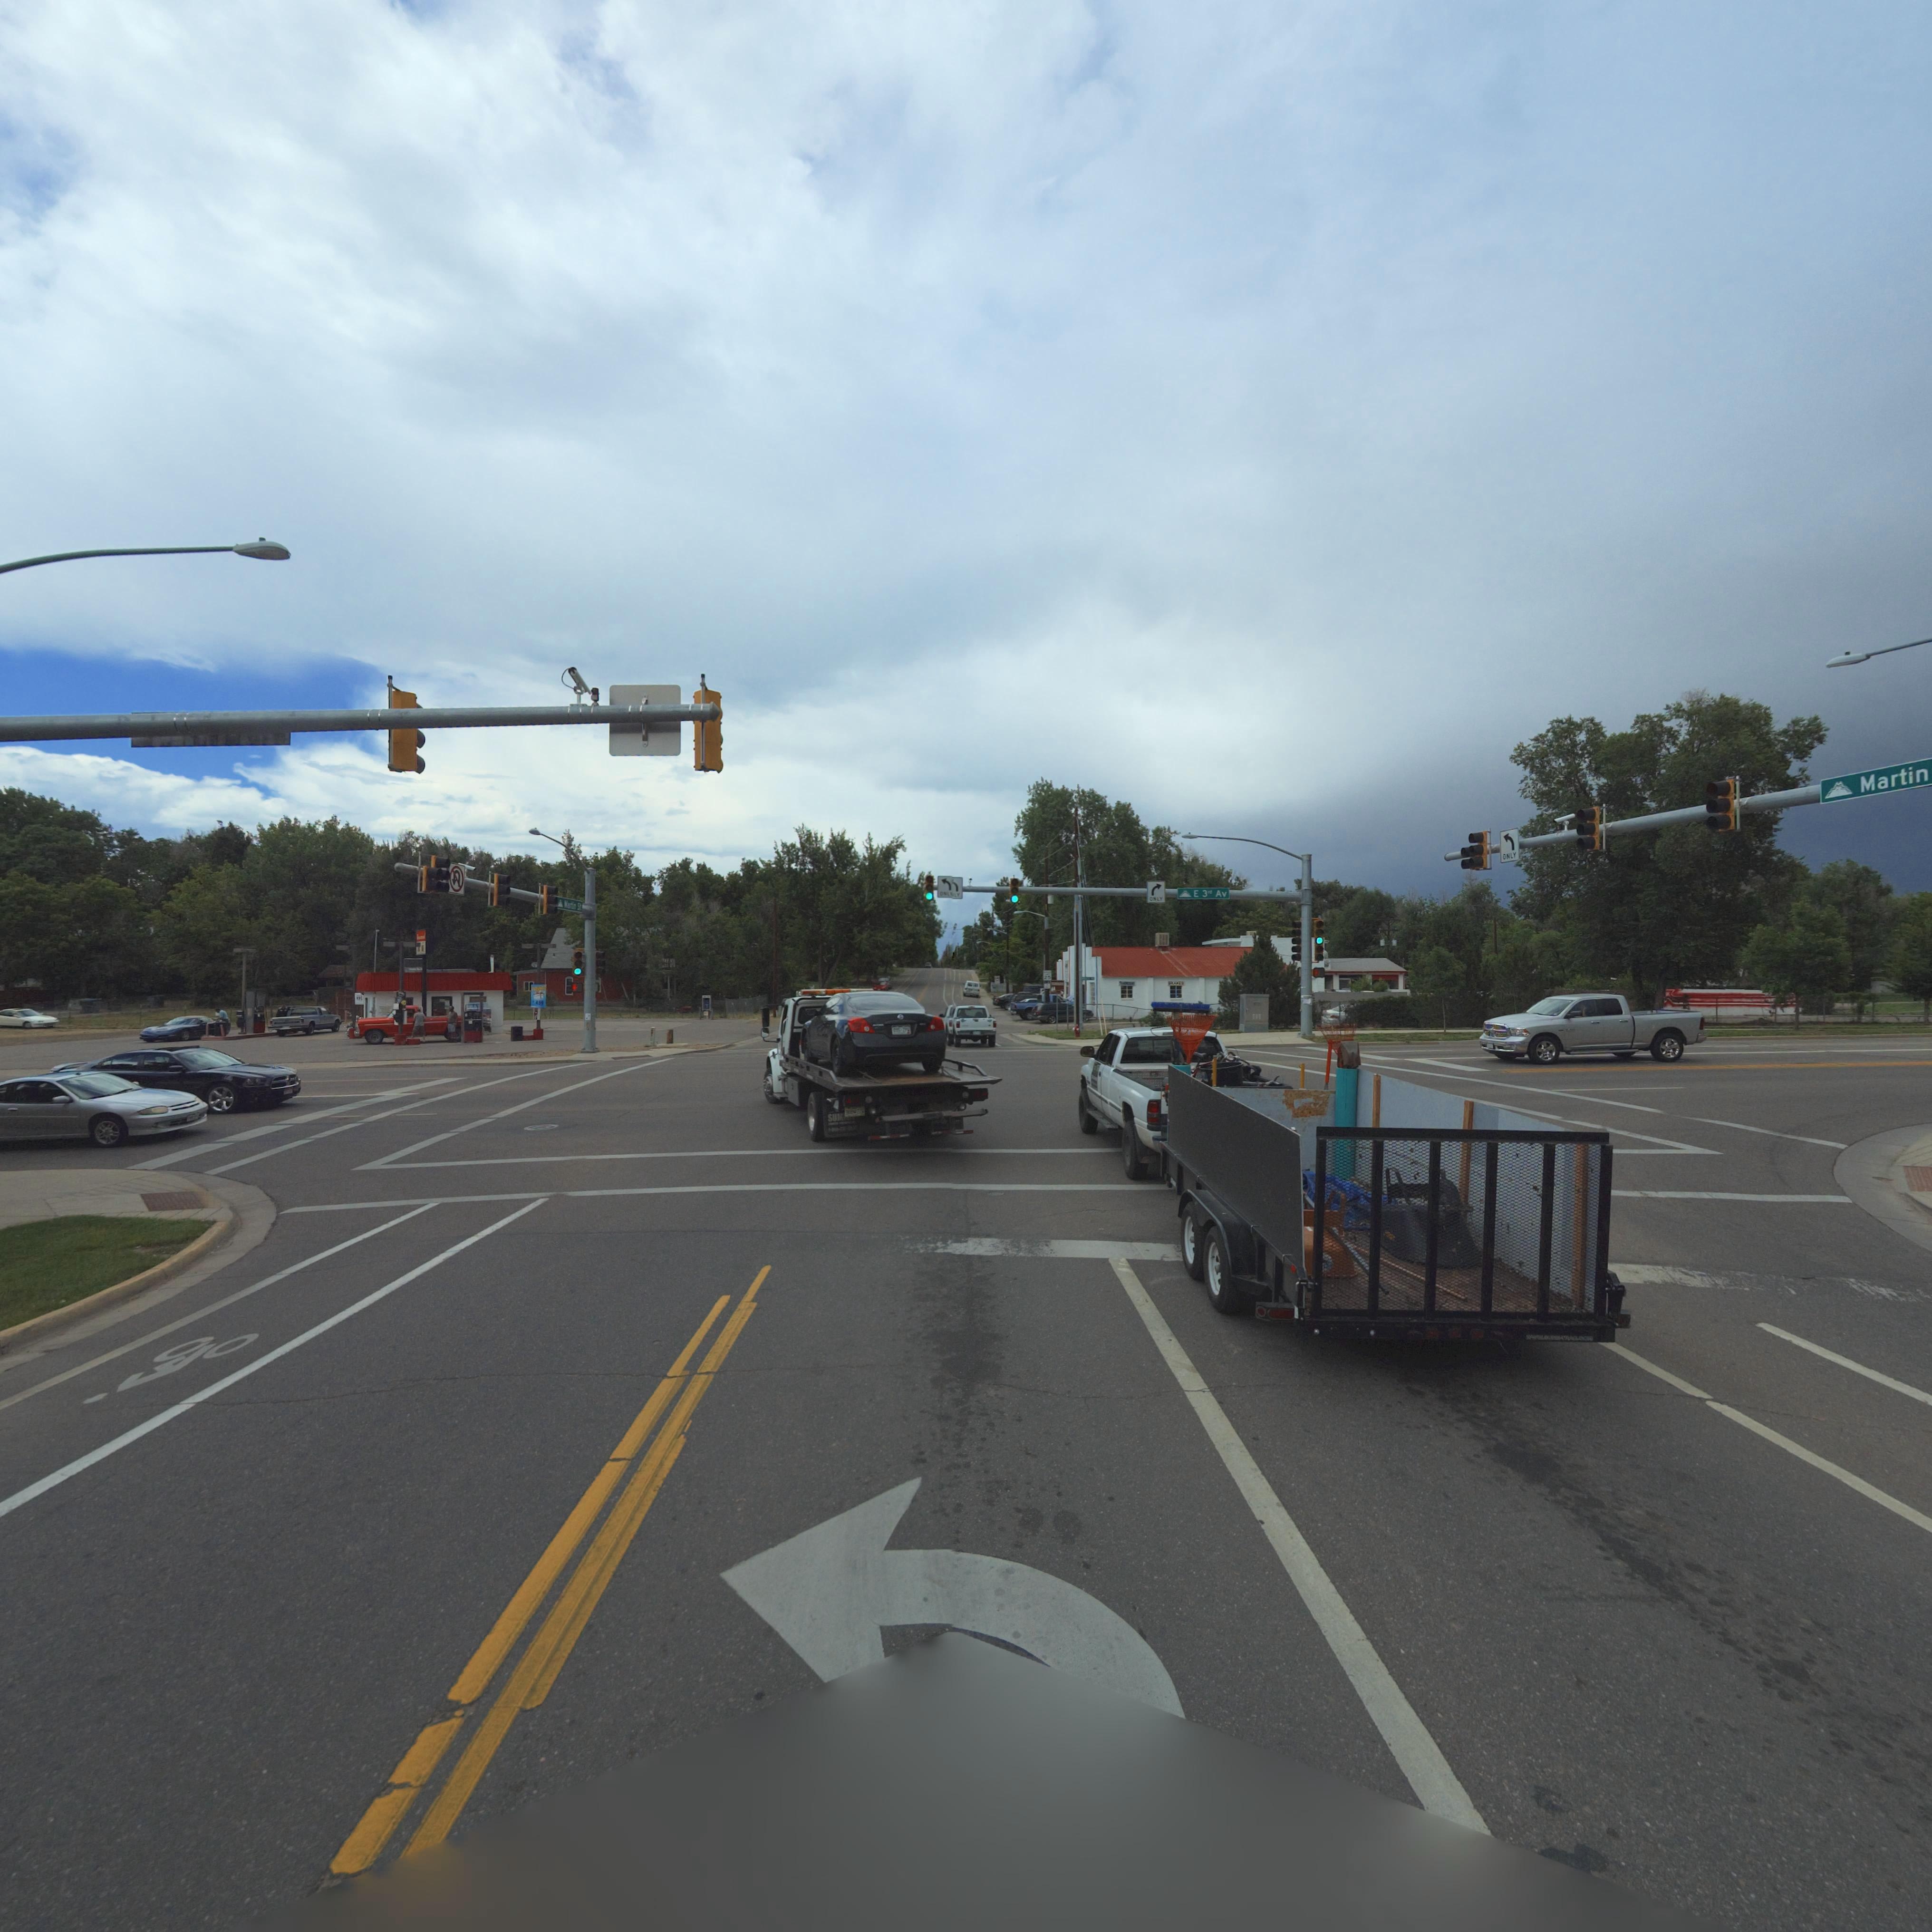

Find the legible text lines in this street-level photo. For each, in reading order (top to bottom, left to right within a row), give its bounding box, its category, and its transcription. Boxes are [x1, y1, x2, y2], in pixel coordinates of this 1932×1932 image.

[1859, 765, 1929, 793] StreetName: Martin
[1193, 889, 1227, 898] StreetName: E 3rd Av
[563, 899, 582, 910] StreetName: Martin St